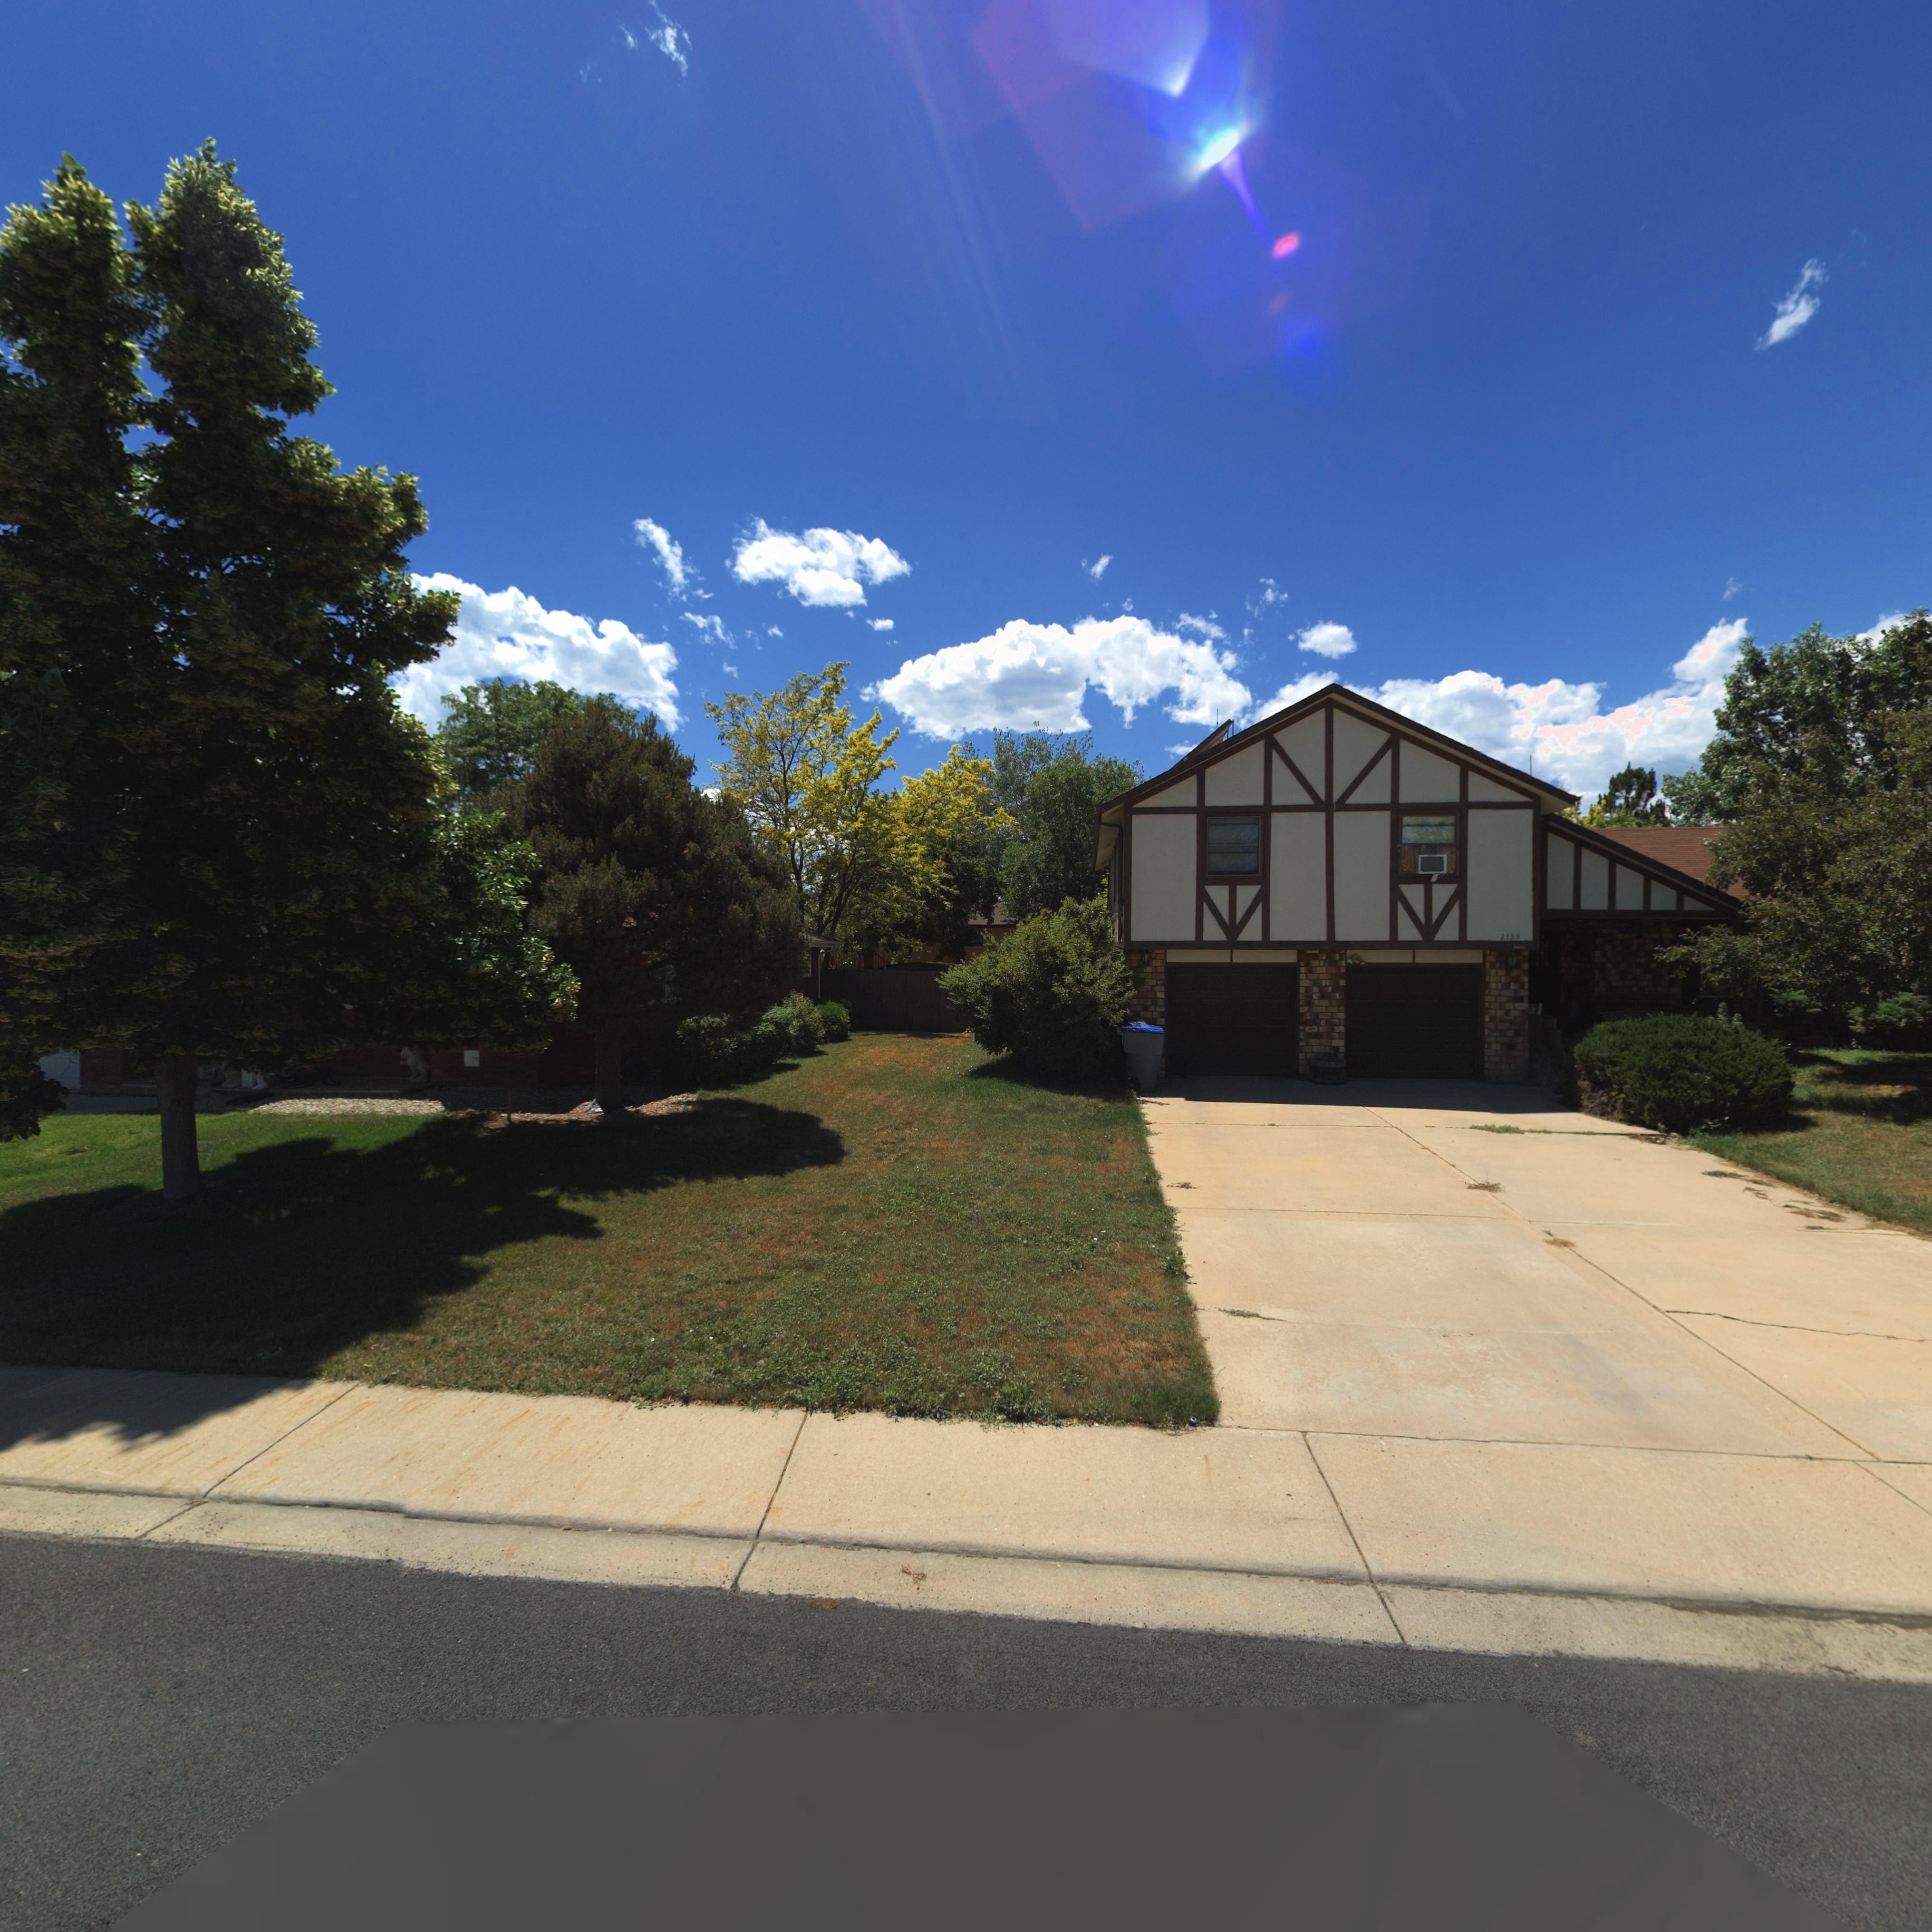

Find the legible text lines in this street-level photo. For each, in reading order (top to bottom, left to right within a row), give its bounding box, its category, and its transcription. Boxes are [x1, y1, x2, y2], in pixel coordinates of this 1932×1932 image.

[1500, 933, 1520, 940] StreetNumber: 213*